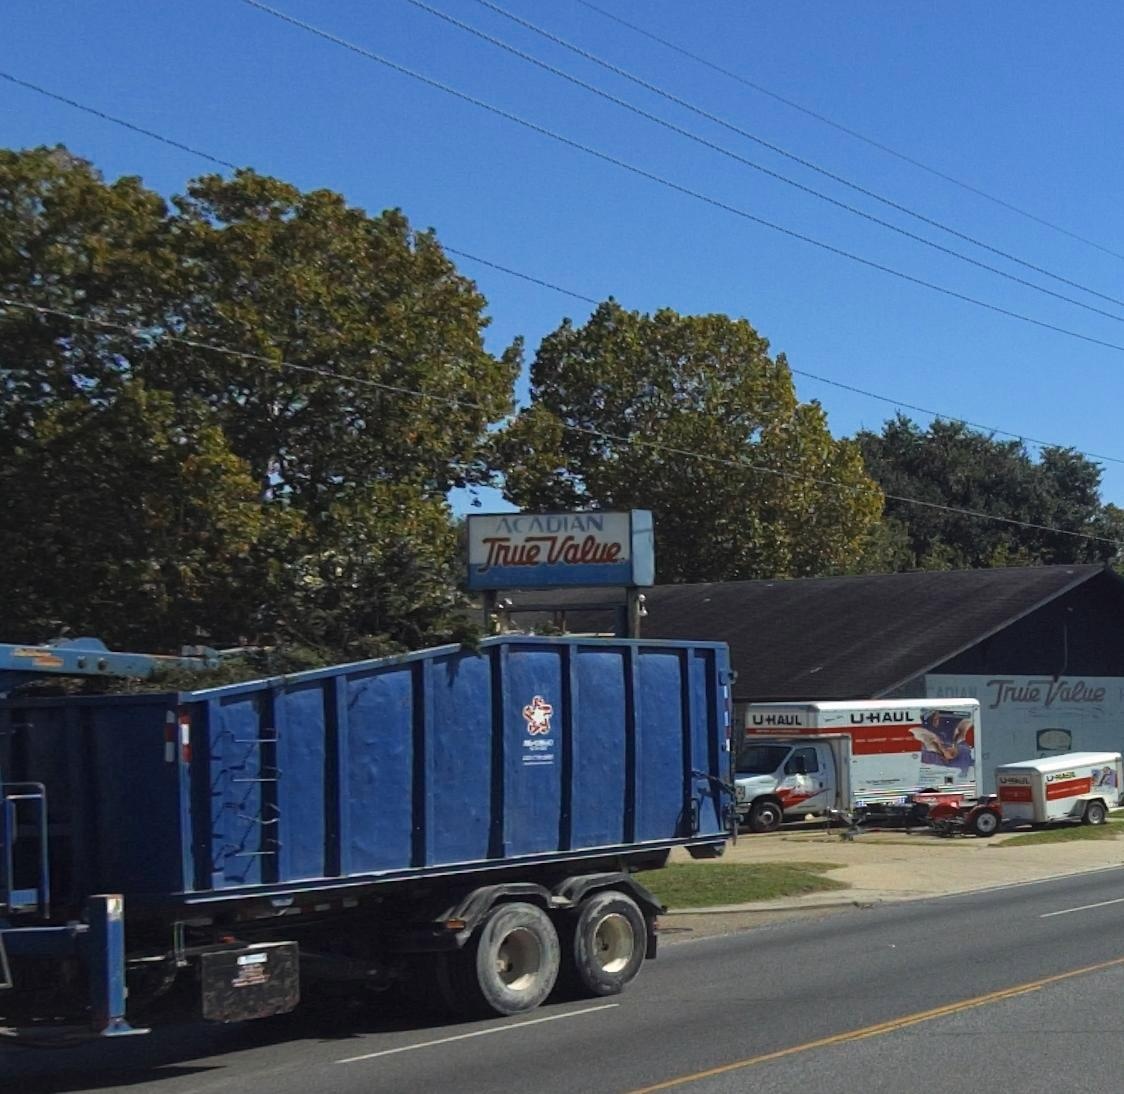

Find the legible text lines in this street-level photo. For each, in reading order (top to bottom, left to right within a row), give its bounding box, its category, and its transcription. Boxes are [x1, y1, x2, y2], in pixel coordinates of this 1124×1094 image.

[460, 500, 624, 594] BusinessName: Acadian True Value